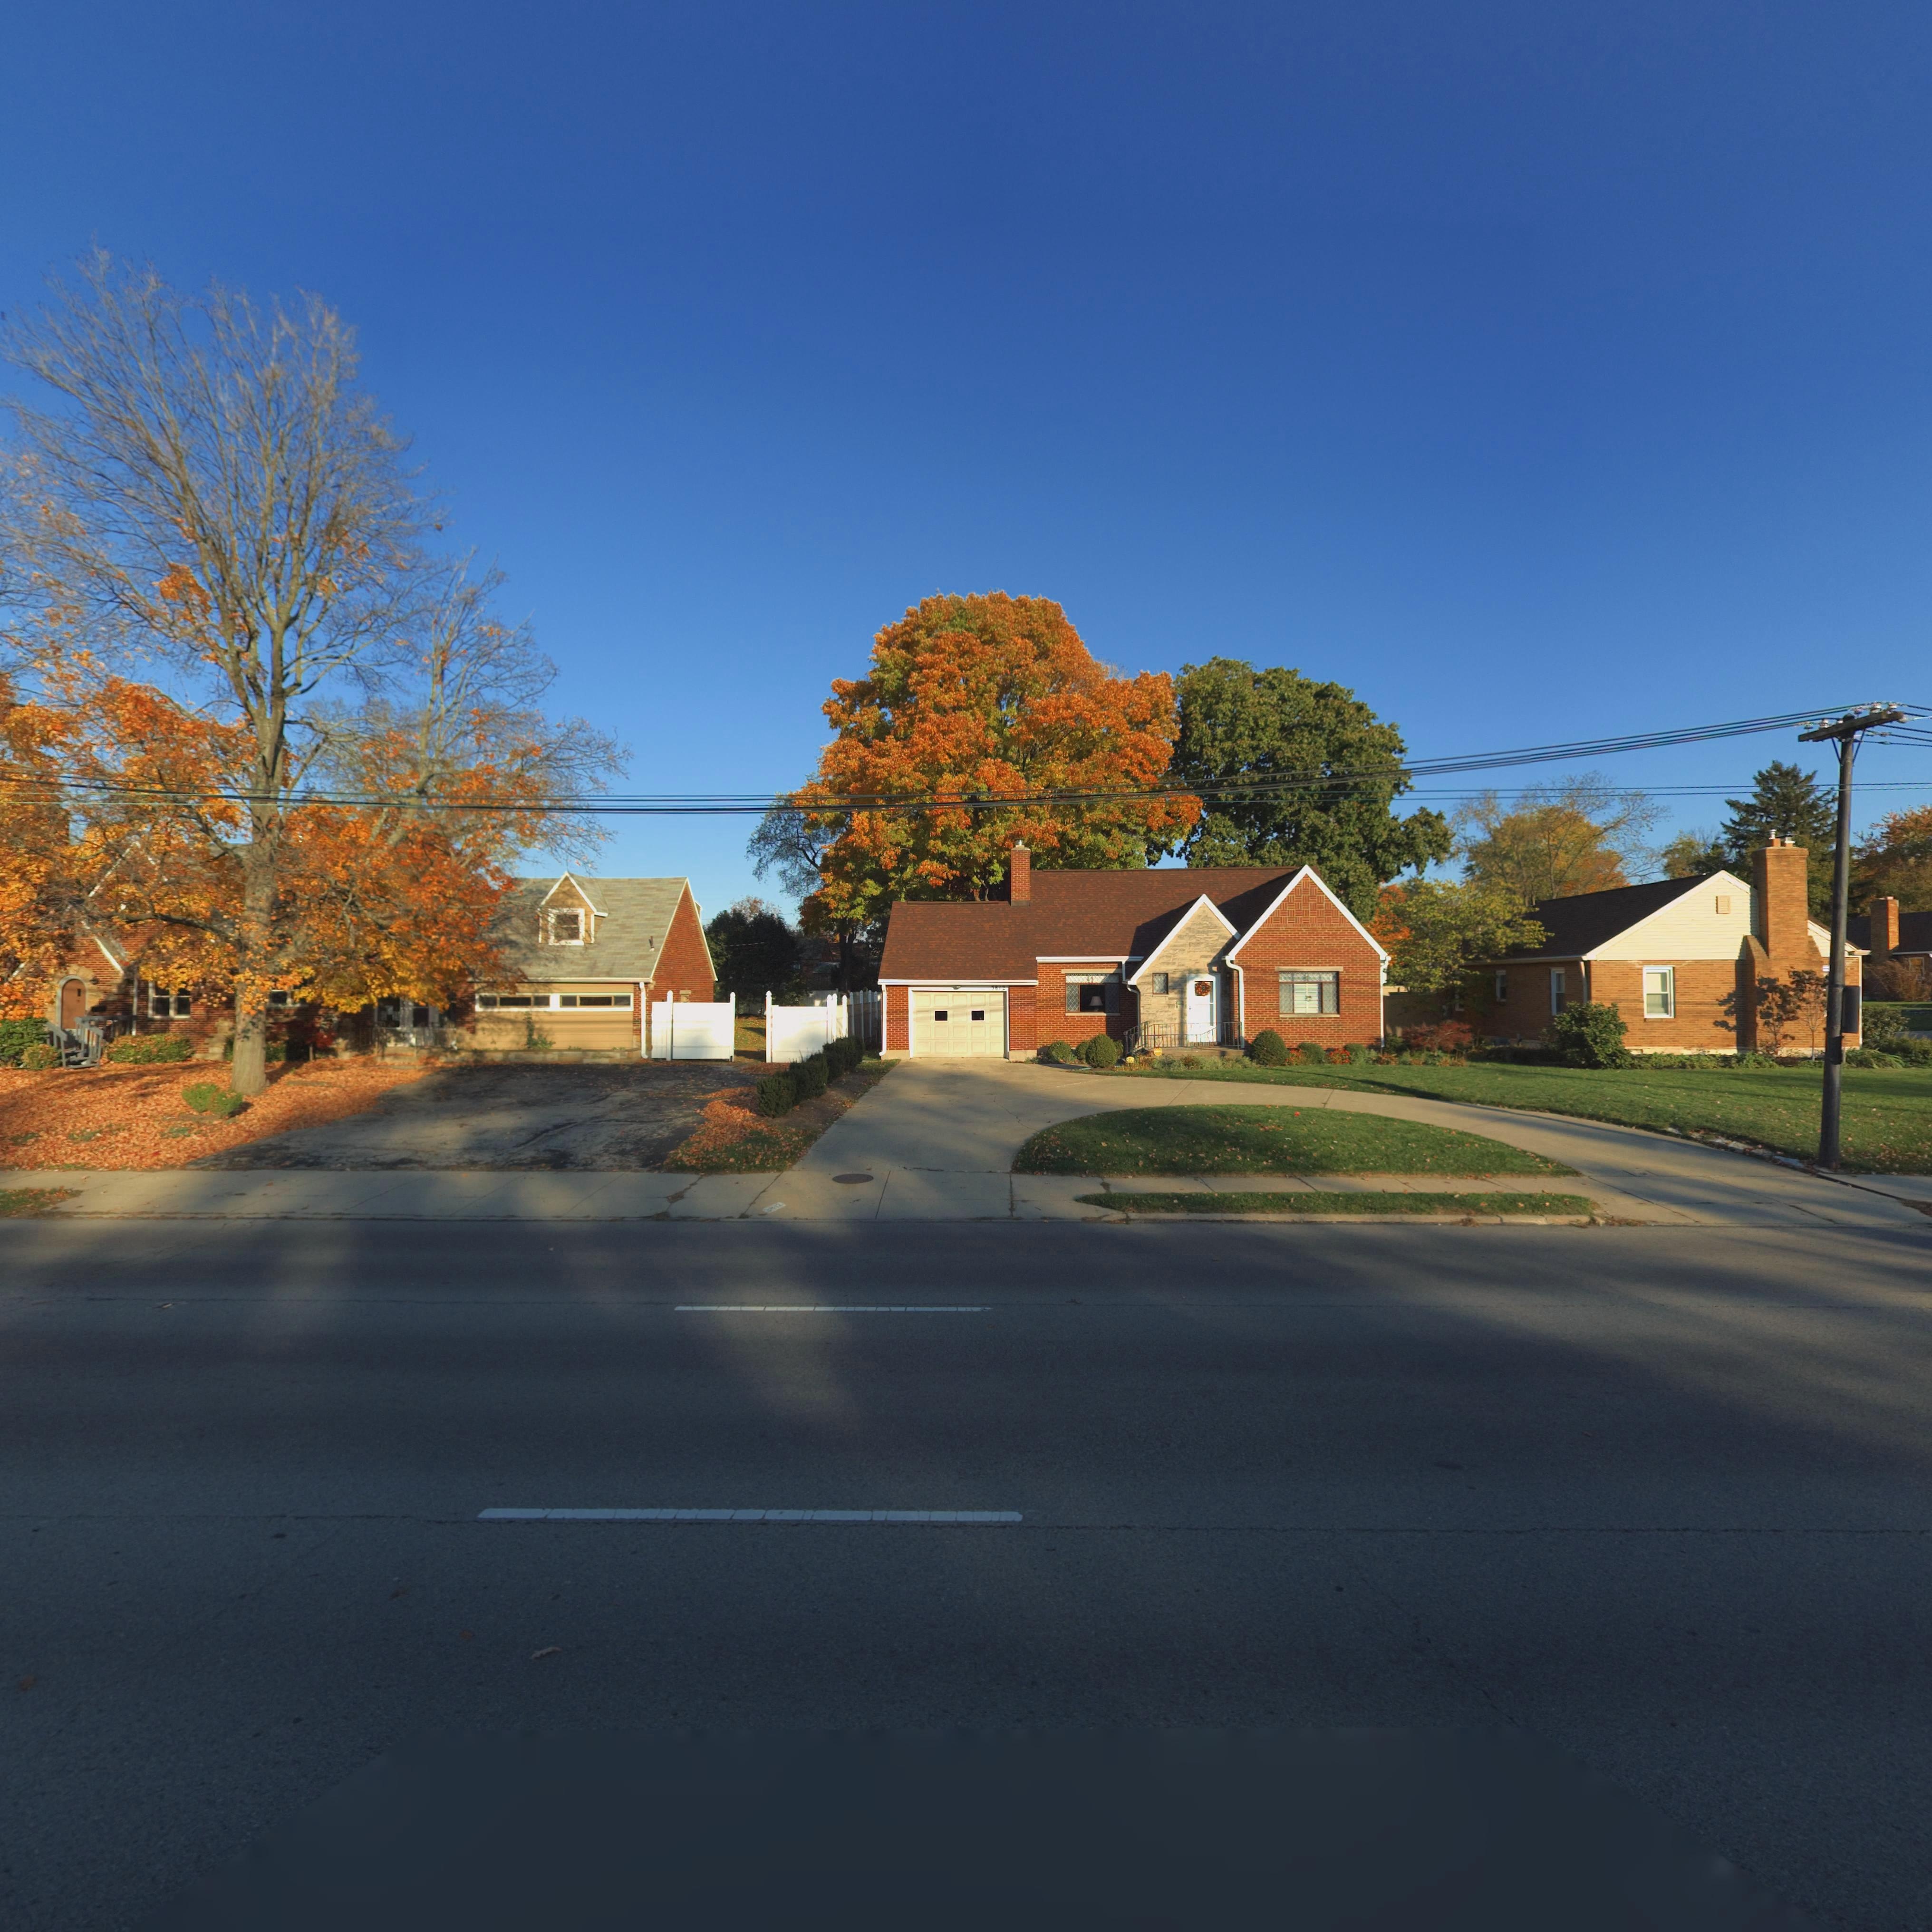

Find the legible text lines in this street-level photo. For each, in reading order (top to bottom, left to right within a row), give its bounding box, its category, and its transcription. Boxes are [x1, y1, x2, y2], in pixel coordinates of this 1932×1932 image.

[991, 985, 1005, 990] StreetNumber: 3812